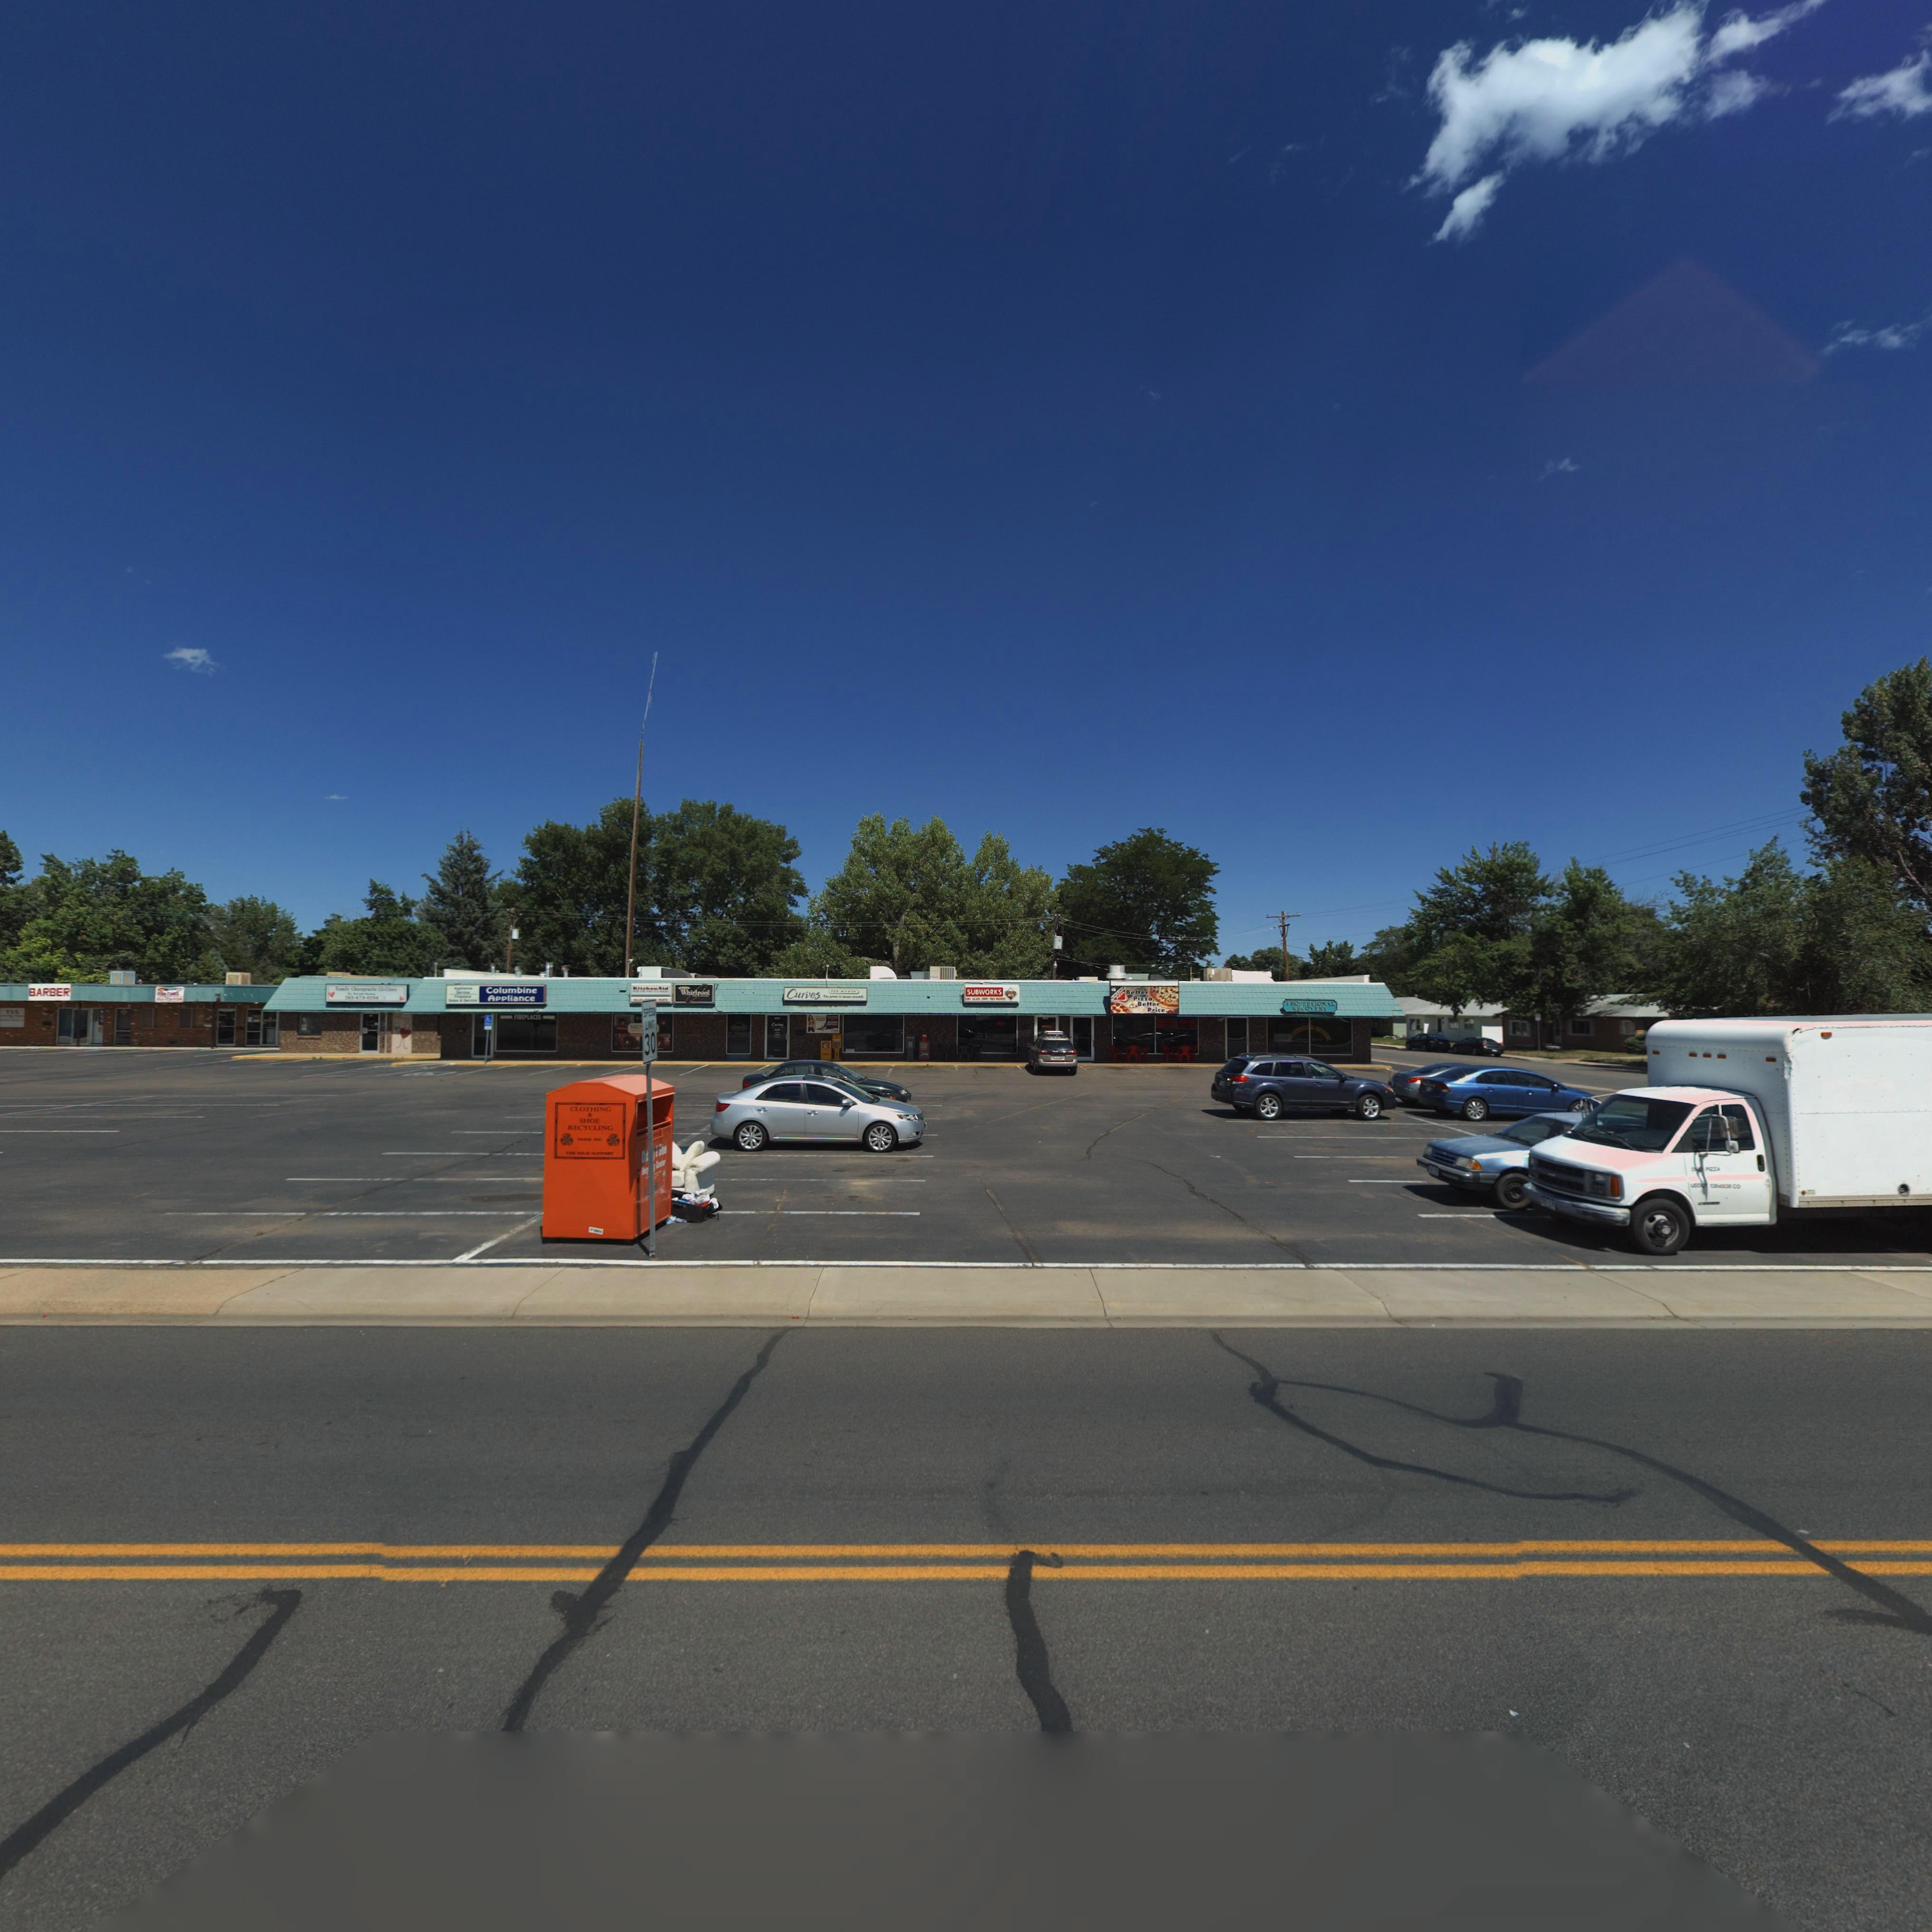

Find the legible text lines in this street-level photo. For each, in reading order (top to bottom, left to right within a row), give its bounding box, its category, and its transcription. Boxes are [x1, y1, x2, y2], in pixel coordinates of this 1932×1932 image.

[335, 985, 397, 992] BusinessName: Fa**ly Chir***ct*c Cl***
[487, 995, 535, 1002] BusinessName: Appliance
[485, 986, 538, 994] BusinessName: Columbine
[786, 988, 821, 999] BusinessName: Curves
[966, 989, 1002, 995] BusinessName: SUBWORKS
[1115, 991, 1126, 1000] BusinessName: P*ZZA
[1286, 1001, 1335, 1006] BusinessName: PROFESSIONAL
[1292, 1006, 1327, 1011] BusinessName: RECOVERY
[771, 1022, 783, 1027] BusinessName: C*****
[1287, 1024, 1332, 1042] BusinessName: PROFE******* RECO****